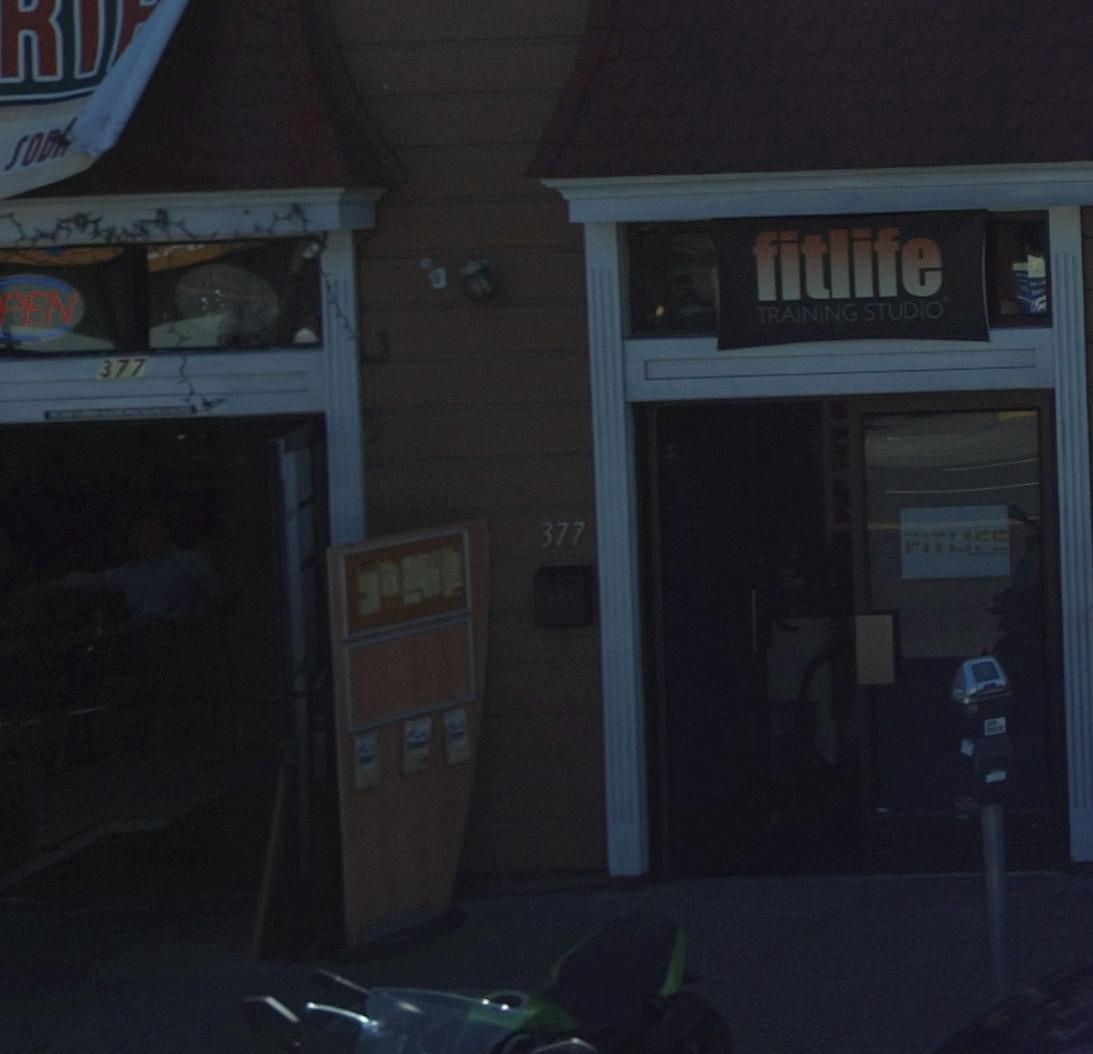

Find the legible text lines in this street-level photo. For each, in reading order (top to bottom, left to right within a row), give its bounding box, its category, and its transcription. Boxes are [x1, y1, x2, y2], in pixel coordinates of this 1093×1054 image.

[2, 127, 47, 175] None: SO
[751, 225, 945, 302] BusinessName: fitlife
[20, 289, 82, 328] None: EN
[753, 298, 946, 328] BusinessName: TRAINING STUDIO
[95, 355, 150, 380] StreetNumber: 377
[538, 519, 586, 549] StreetNumber: 377
[902, 526, 1009, 557] BusinessName: FITLIFE